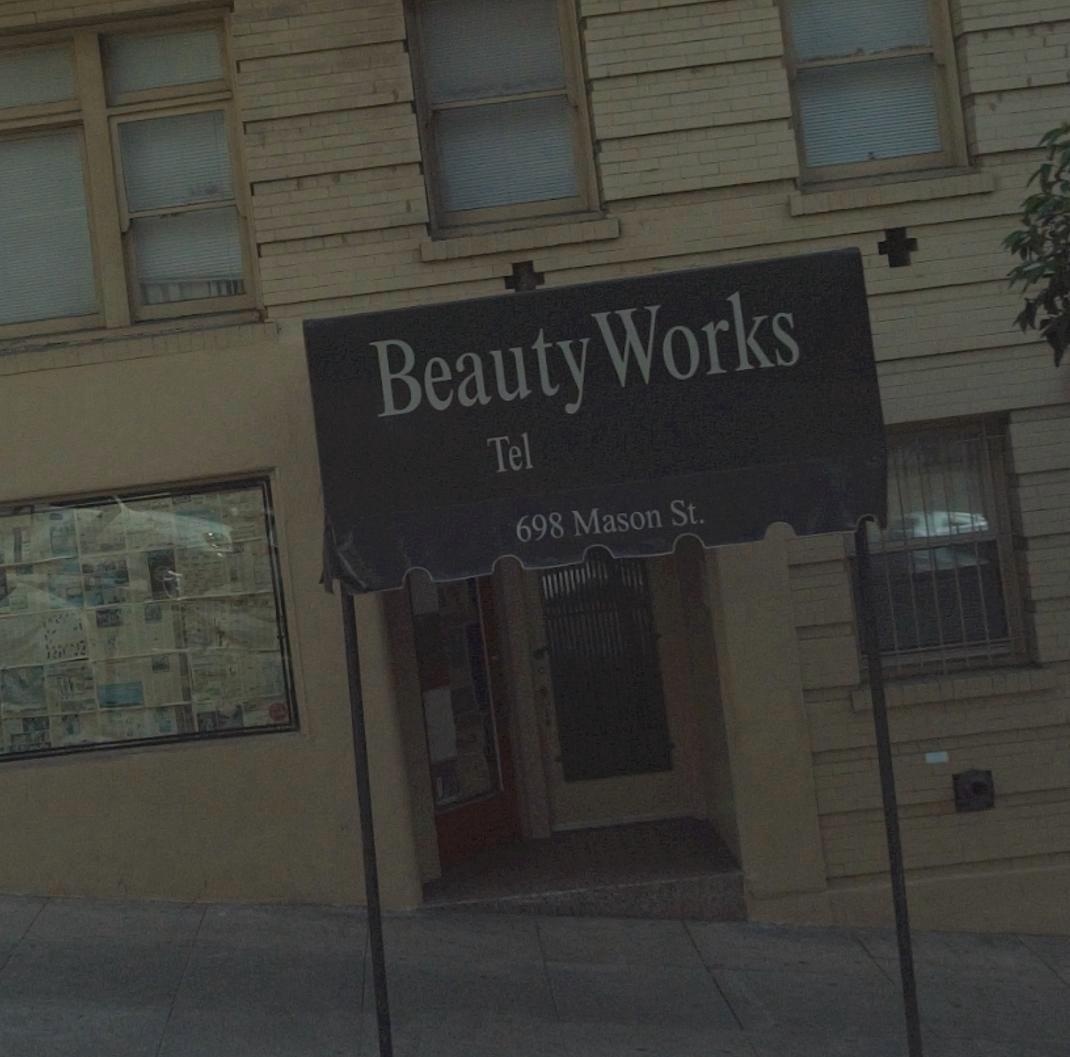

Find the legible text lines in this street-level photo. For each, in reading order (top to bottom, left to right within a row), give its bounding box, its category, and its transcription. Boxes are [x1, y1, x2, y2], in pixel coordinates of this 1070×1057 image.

[364, 276, 805, 428] BusinessName: Beauty Works
[476, 423, 541, 482] None: Tel
[509, 505, 572, 550] StreetNumber: 698
[566, 489, 712, 543] StreetName: Mason St.